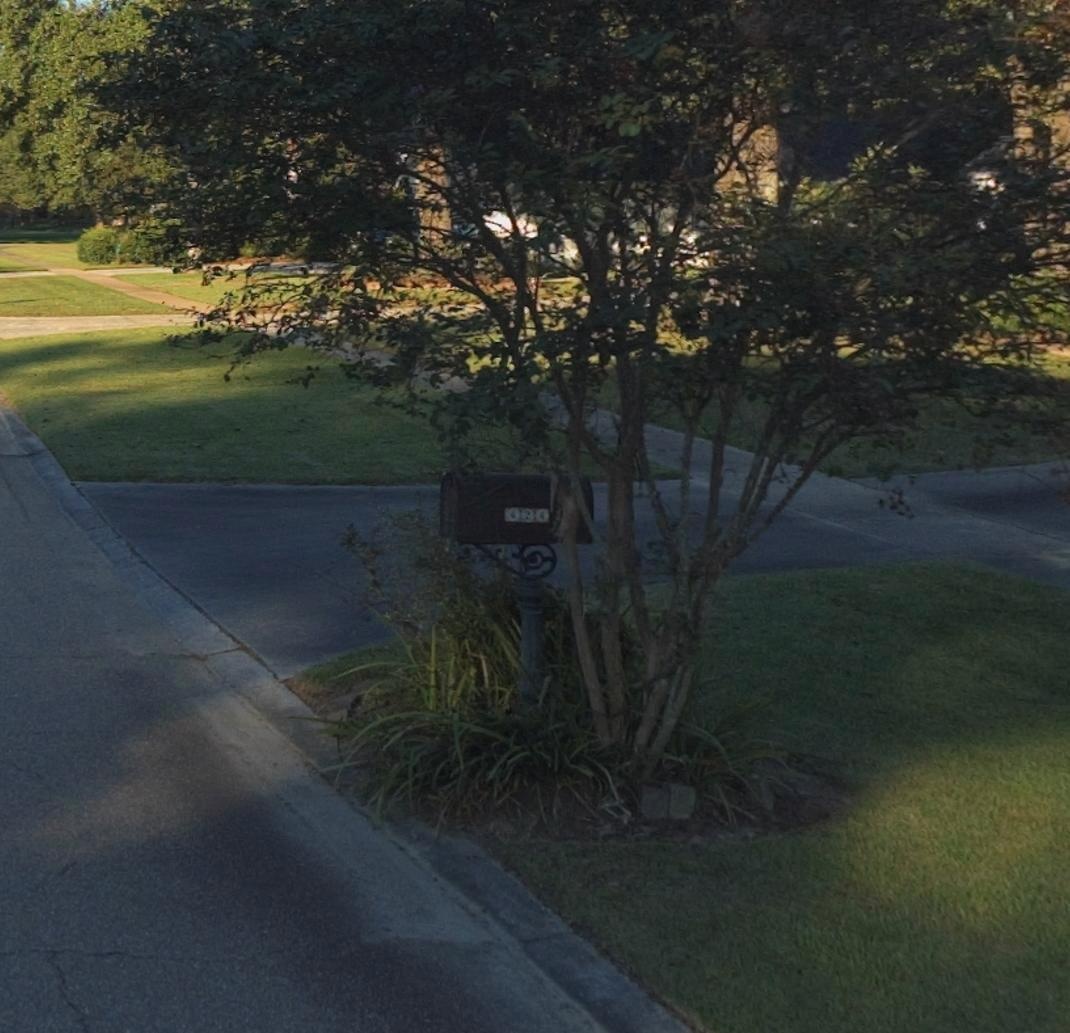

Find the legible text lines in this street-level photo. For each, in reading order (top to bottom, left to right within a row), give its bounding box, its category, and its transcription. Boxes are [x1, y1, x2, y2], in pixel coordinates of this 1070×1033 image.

[509, 508, 546, 521] StreetNumber: 424